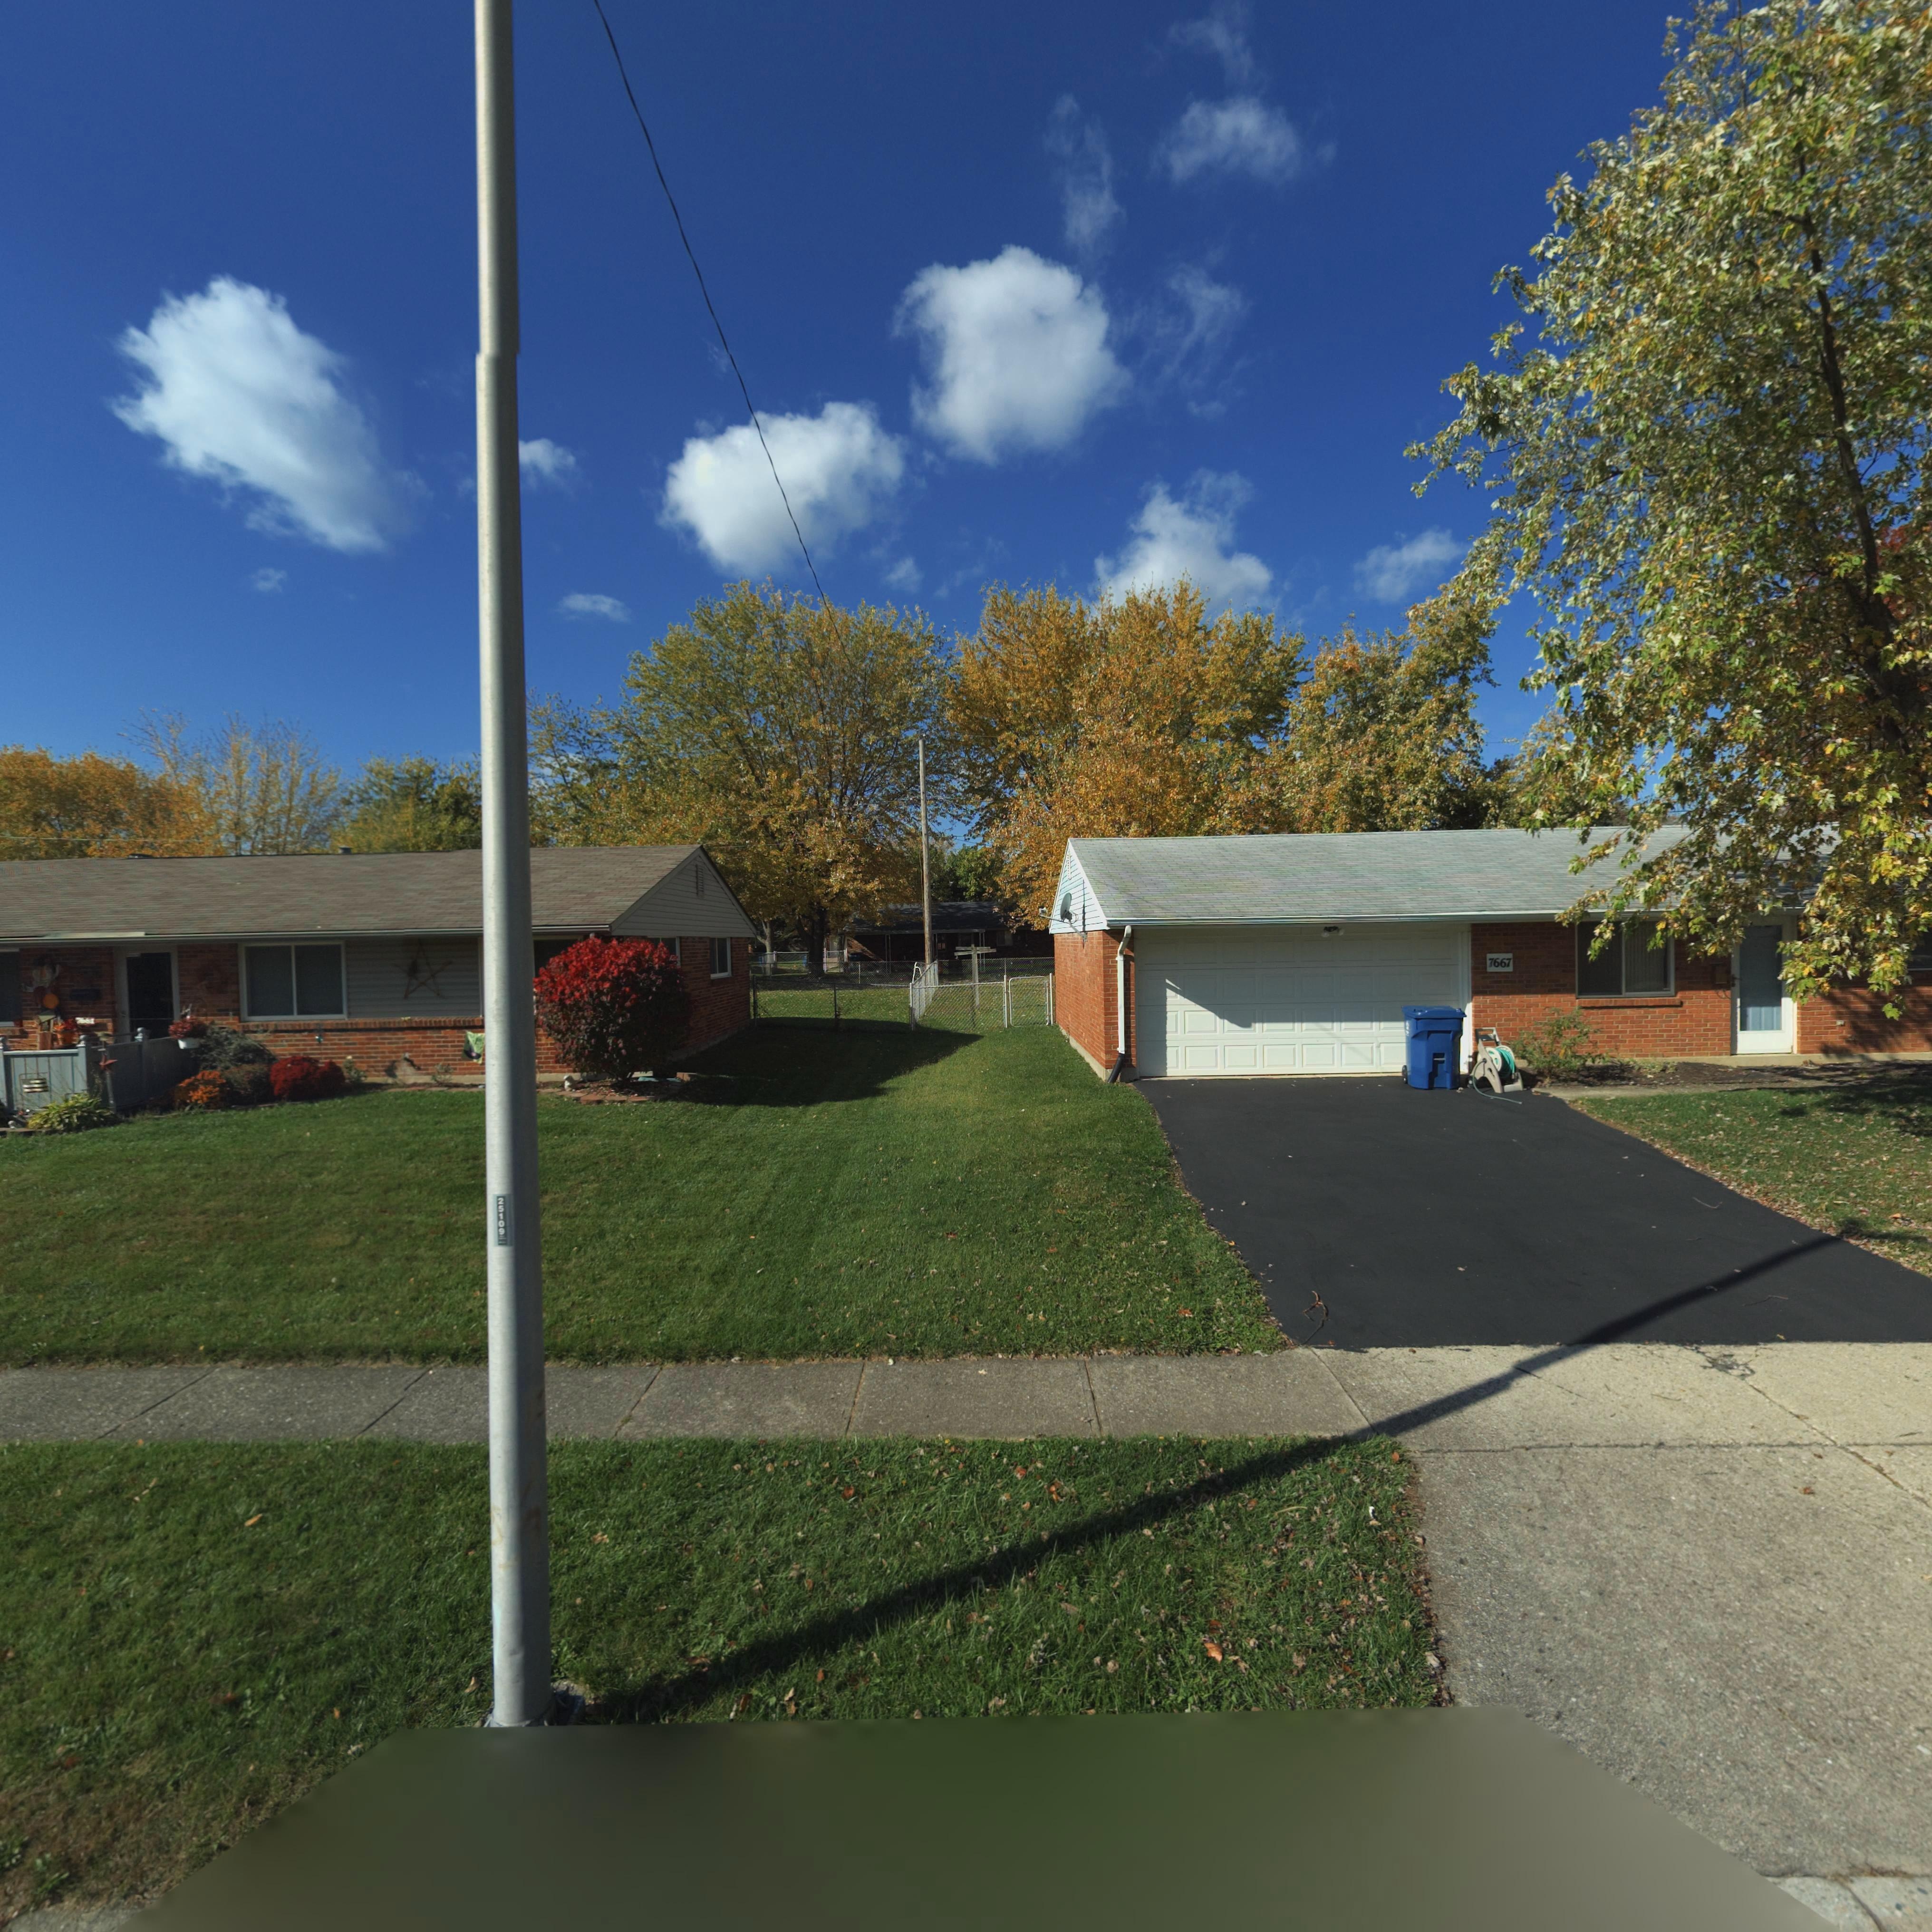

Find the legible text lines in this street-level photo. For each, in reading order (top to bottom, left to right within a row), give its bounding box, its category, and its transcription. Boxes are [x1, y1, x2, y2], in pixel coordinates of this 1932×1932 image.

[1487, 957, 1513, 969] StreetNumber: 7667